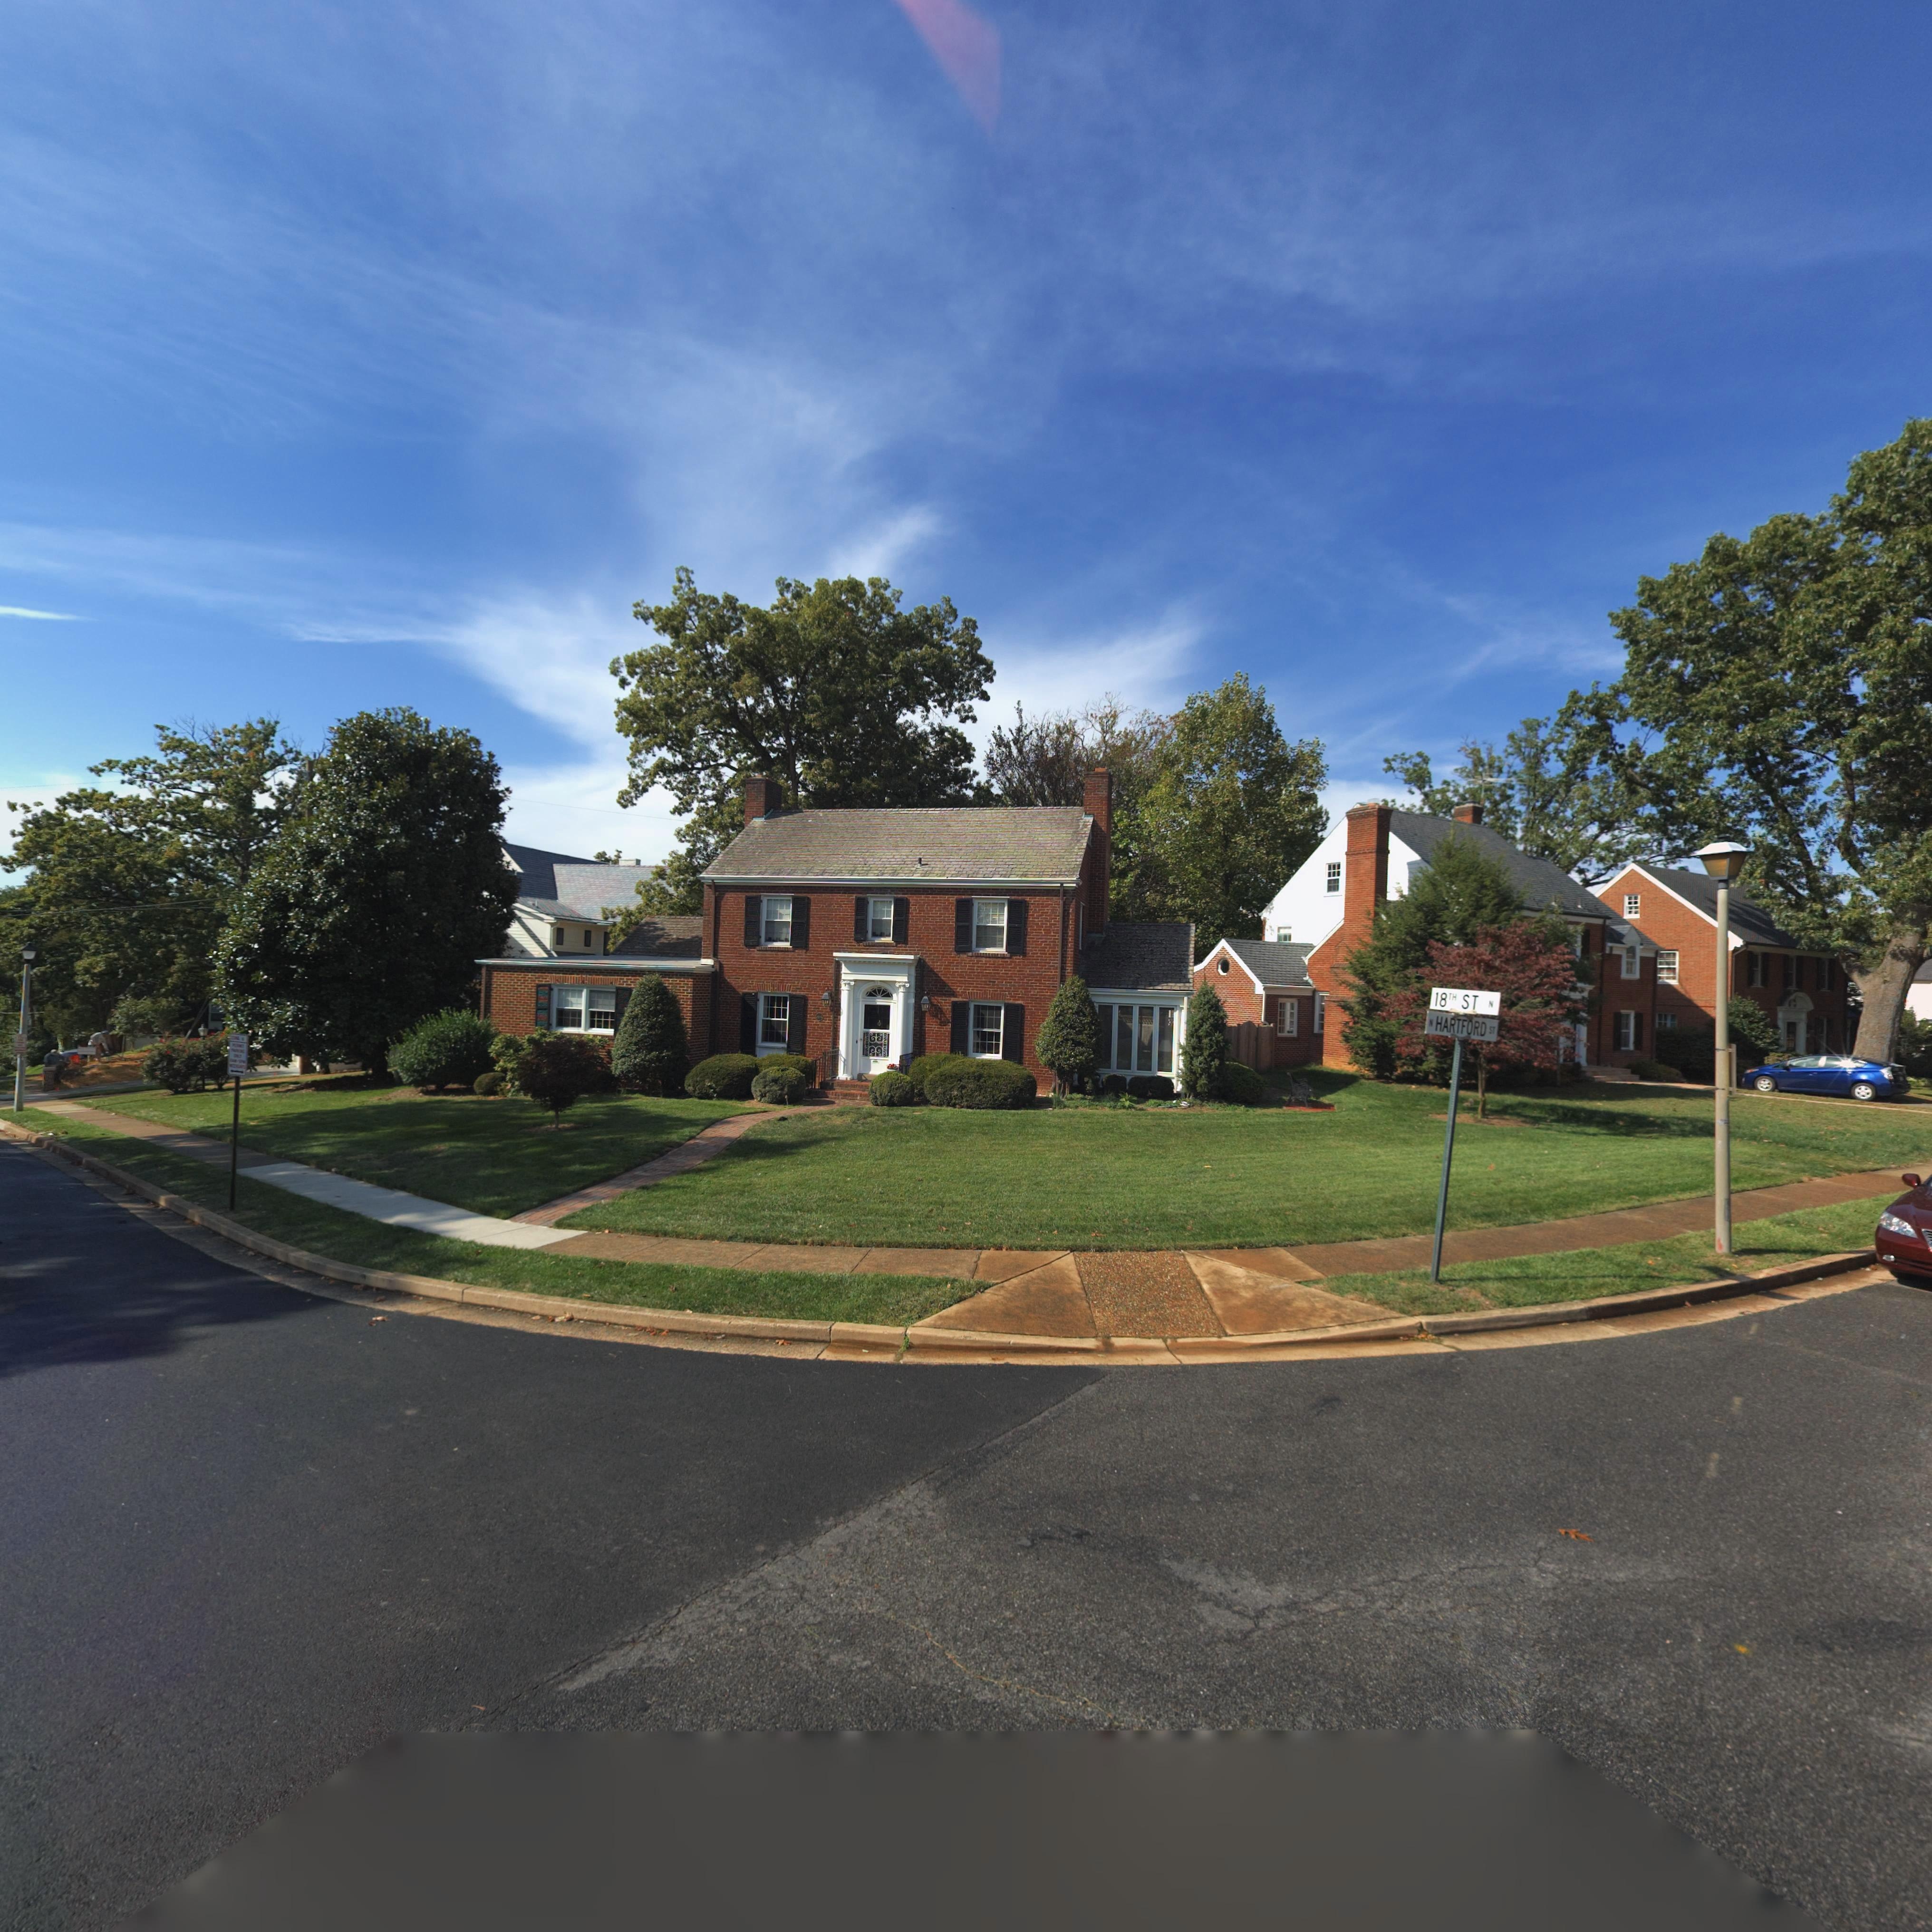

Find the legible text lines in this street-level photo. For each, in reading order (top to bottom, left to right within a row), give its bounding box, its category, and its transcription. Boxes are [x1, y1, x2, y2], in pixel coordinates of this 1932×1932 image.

[1433, 990, 1495, 1011] StreetNumber: 18TH ST N
[1427, 1014, 1497, 1039] StreetNumber: N HARTFORD ST